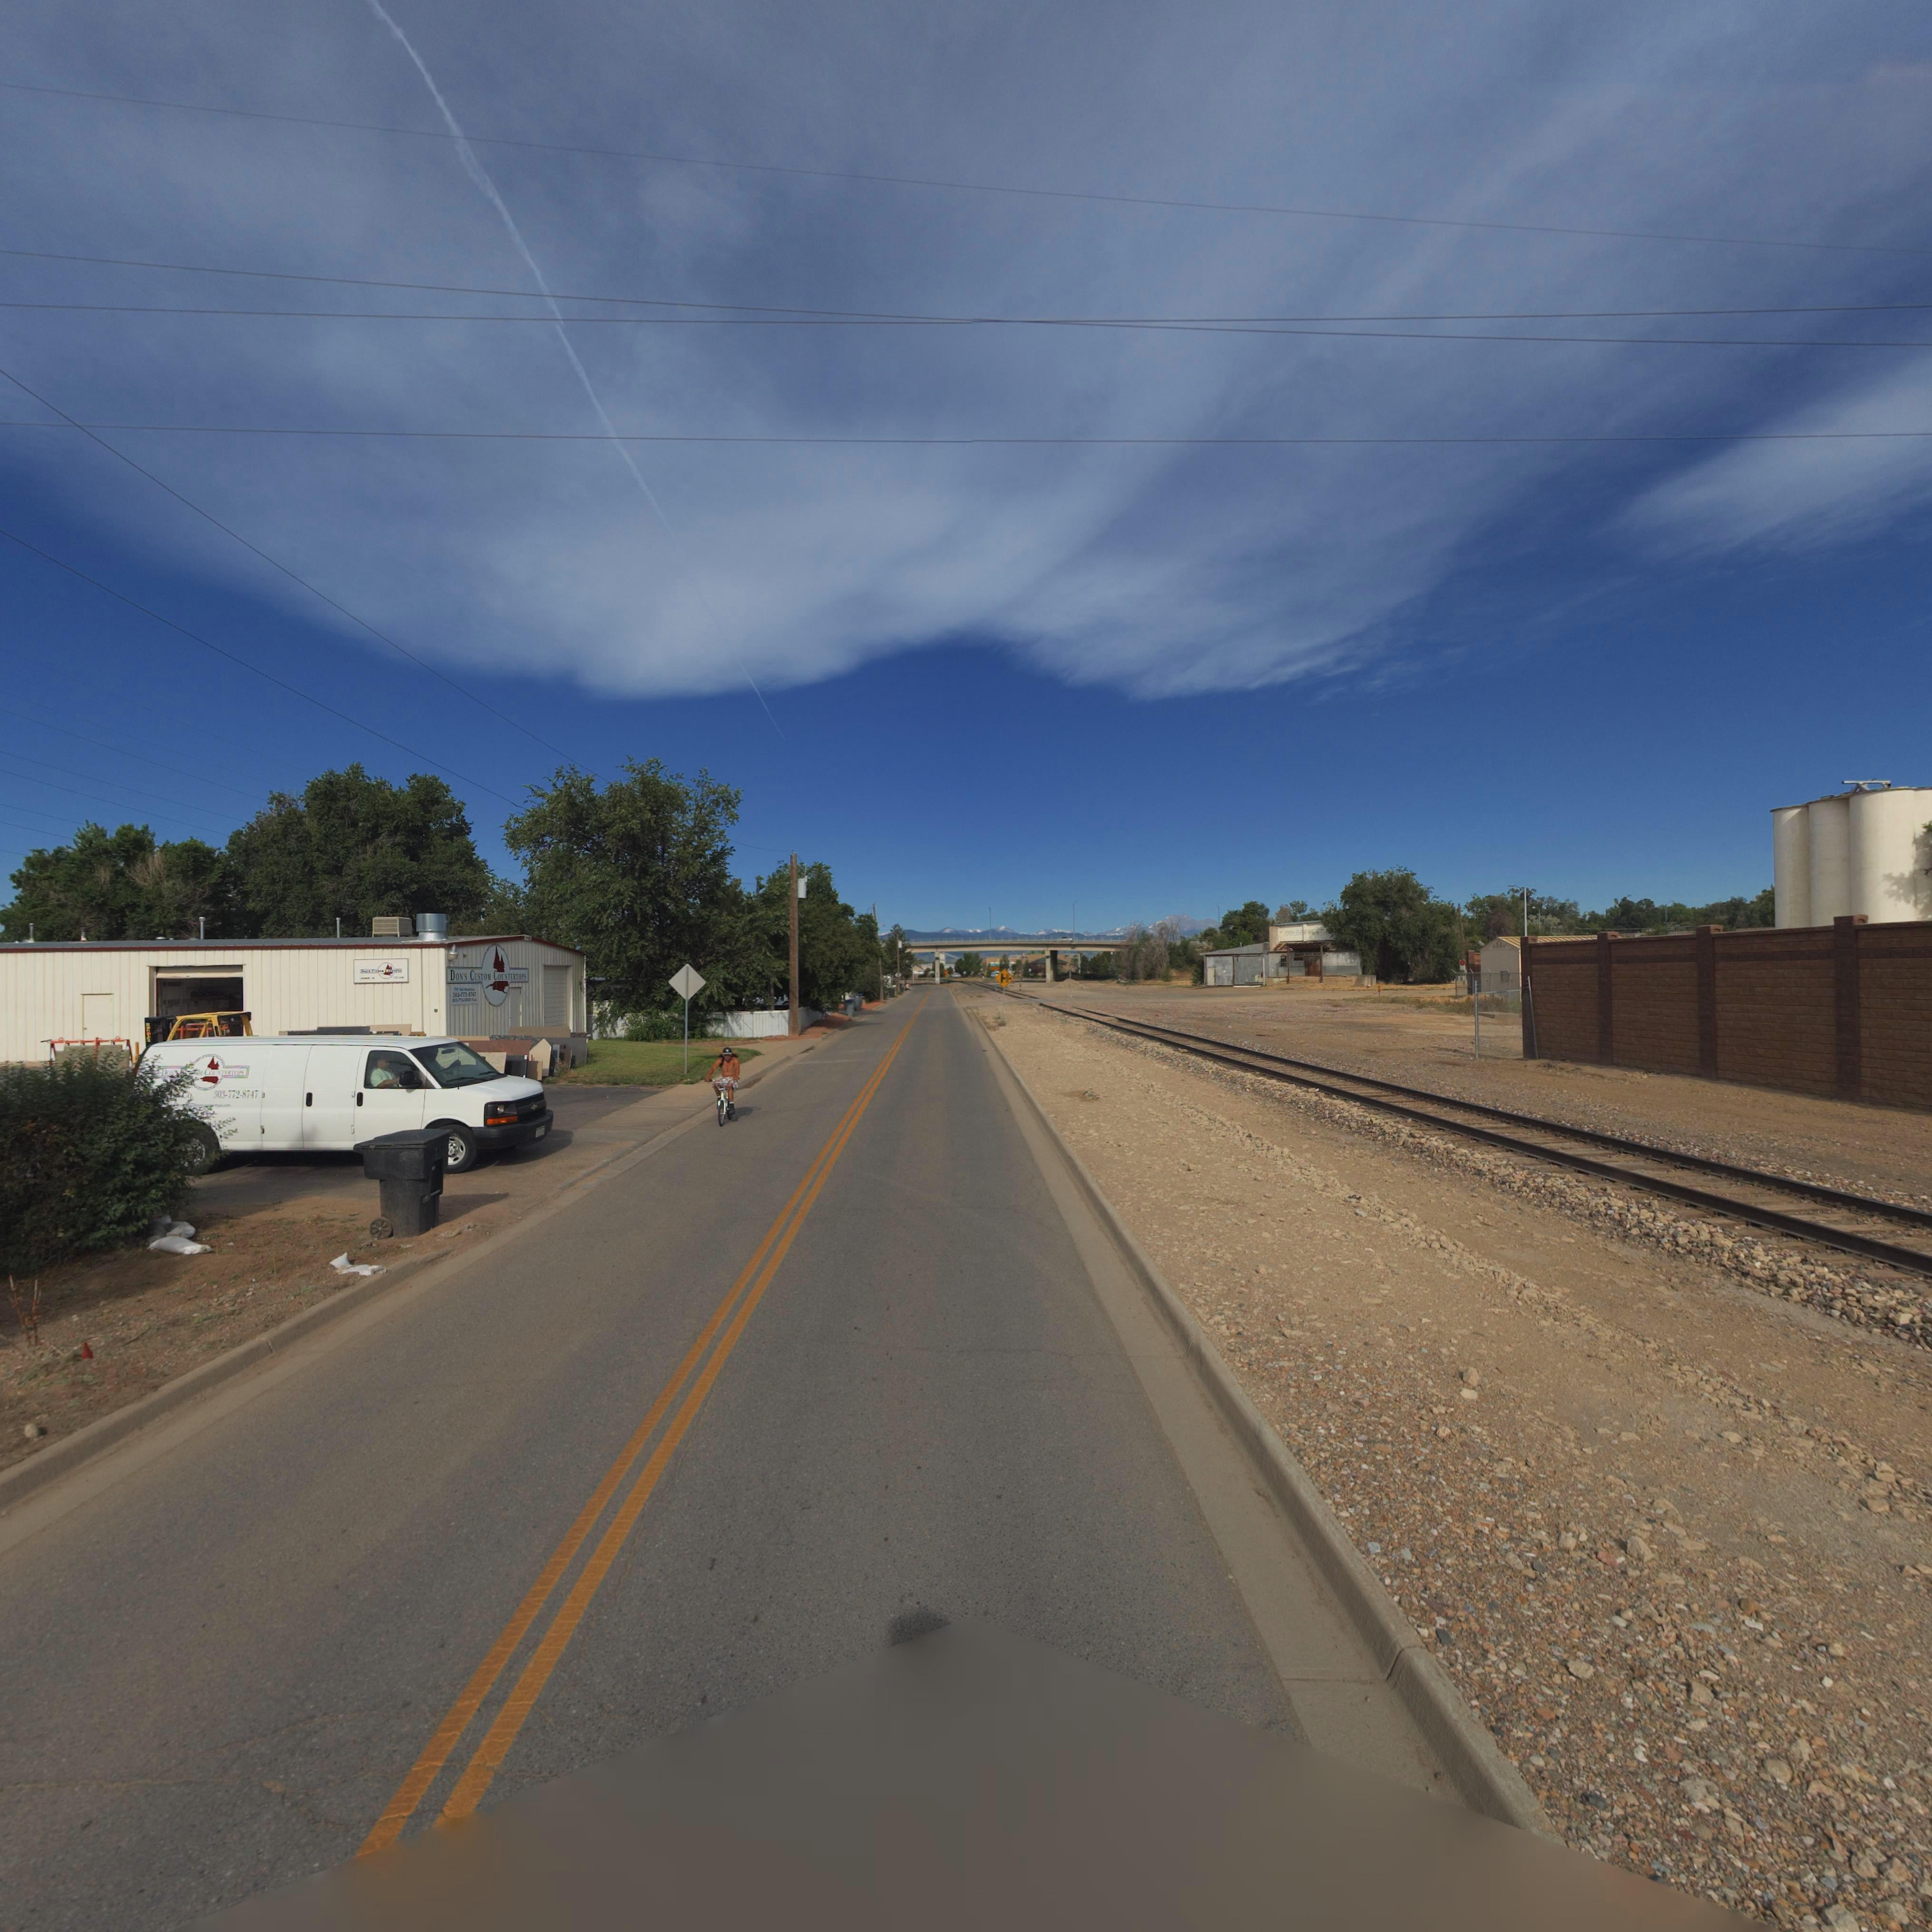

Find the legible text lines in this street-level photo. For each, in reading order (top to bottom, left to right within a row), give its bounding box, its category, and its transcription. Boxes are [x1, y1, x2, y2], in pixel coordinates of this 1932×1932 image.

[449, 968, 527, 981] BusinessName: Don*s Custom Countertops